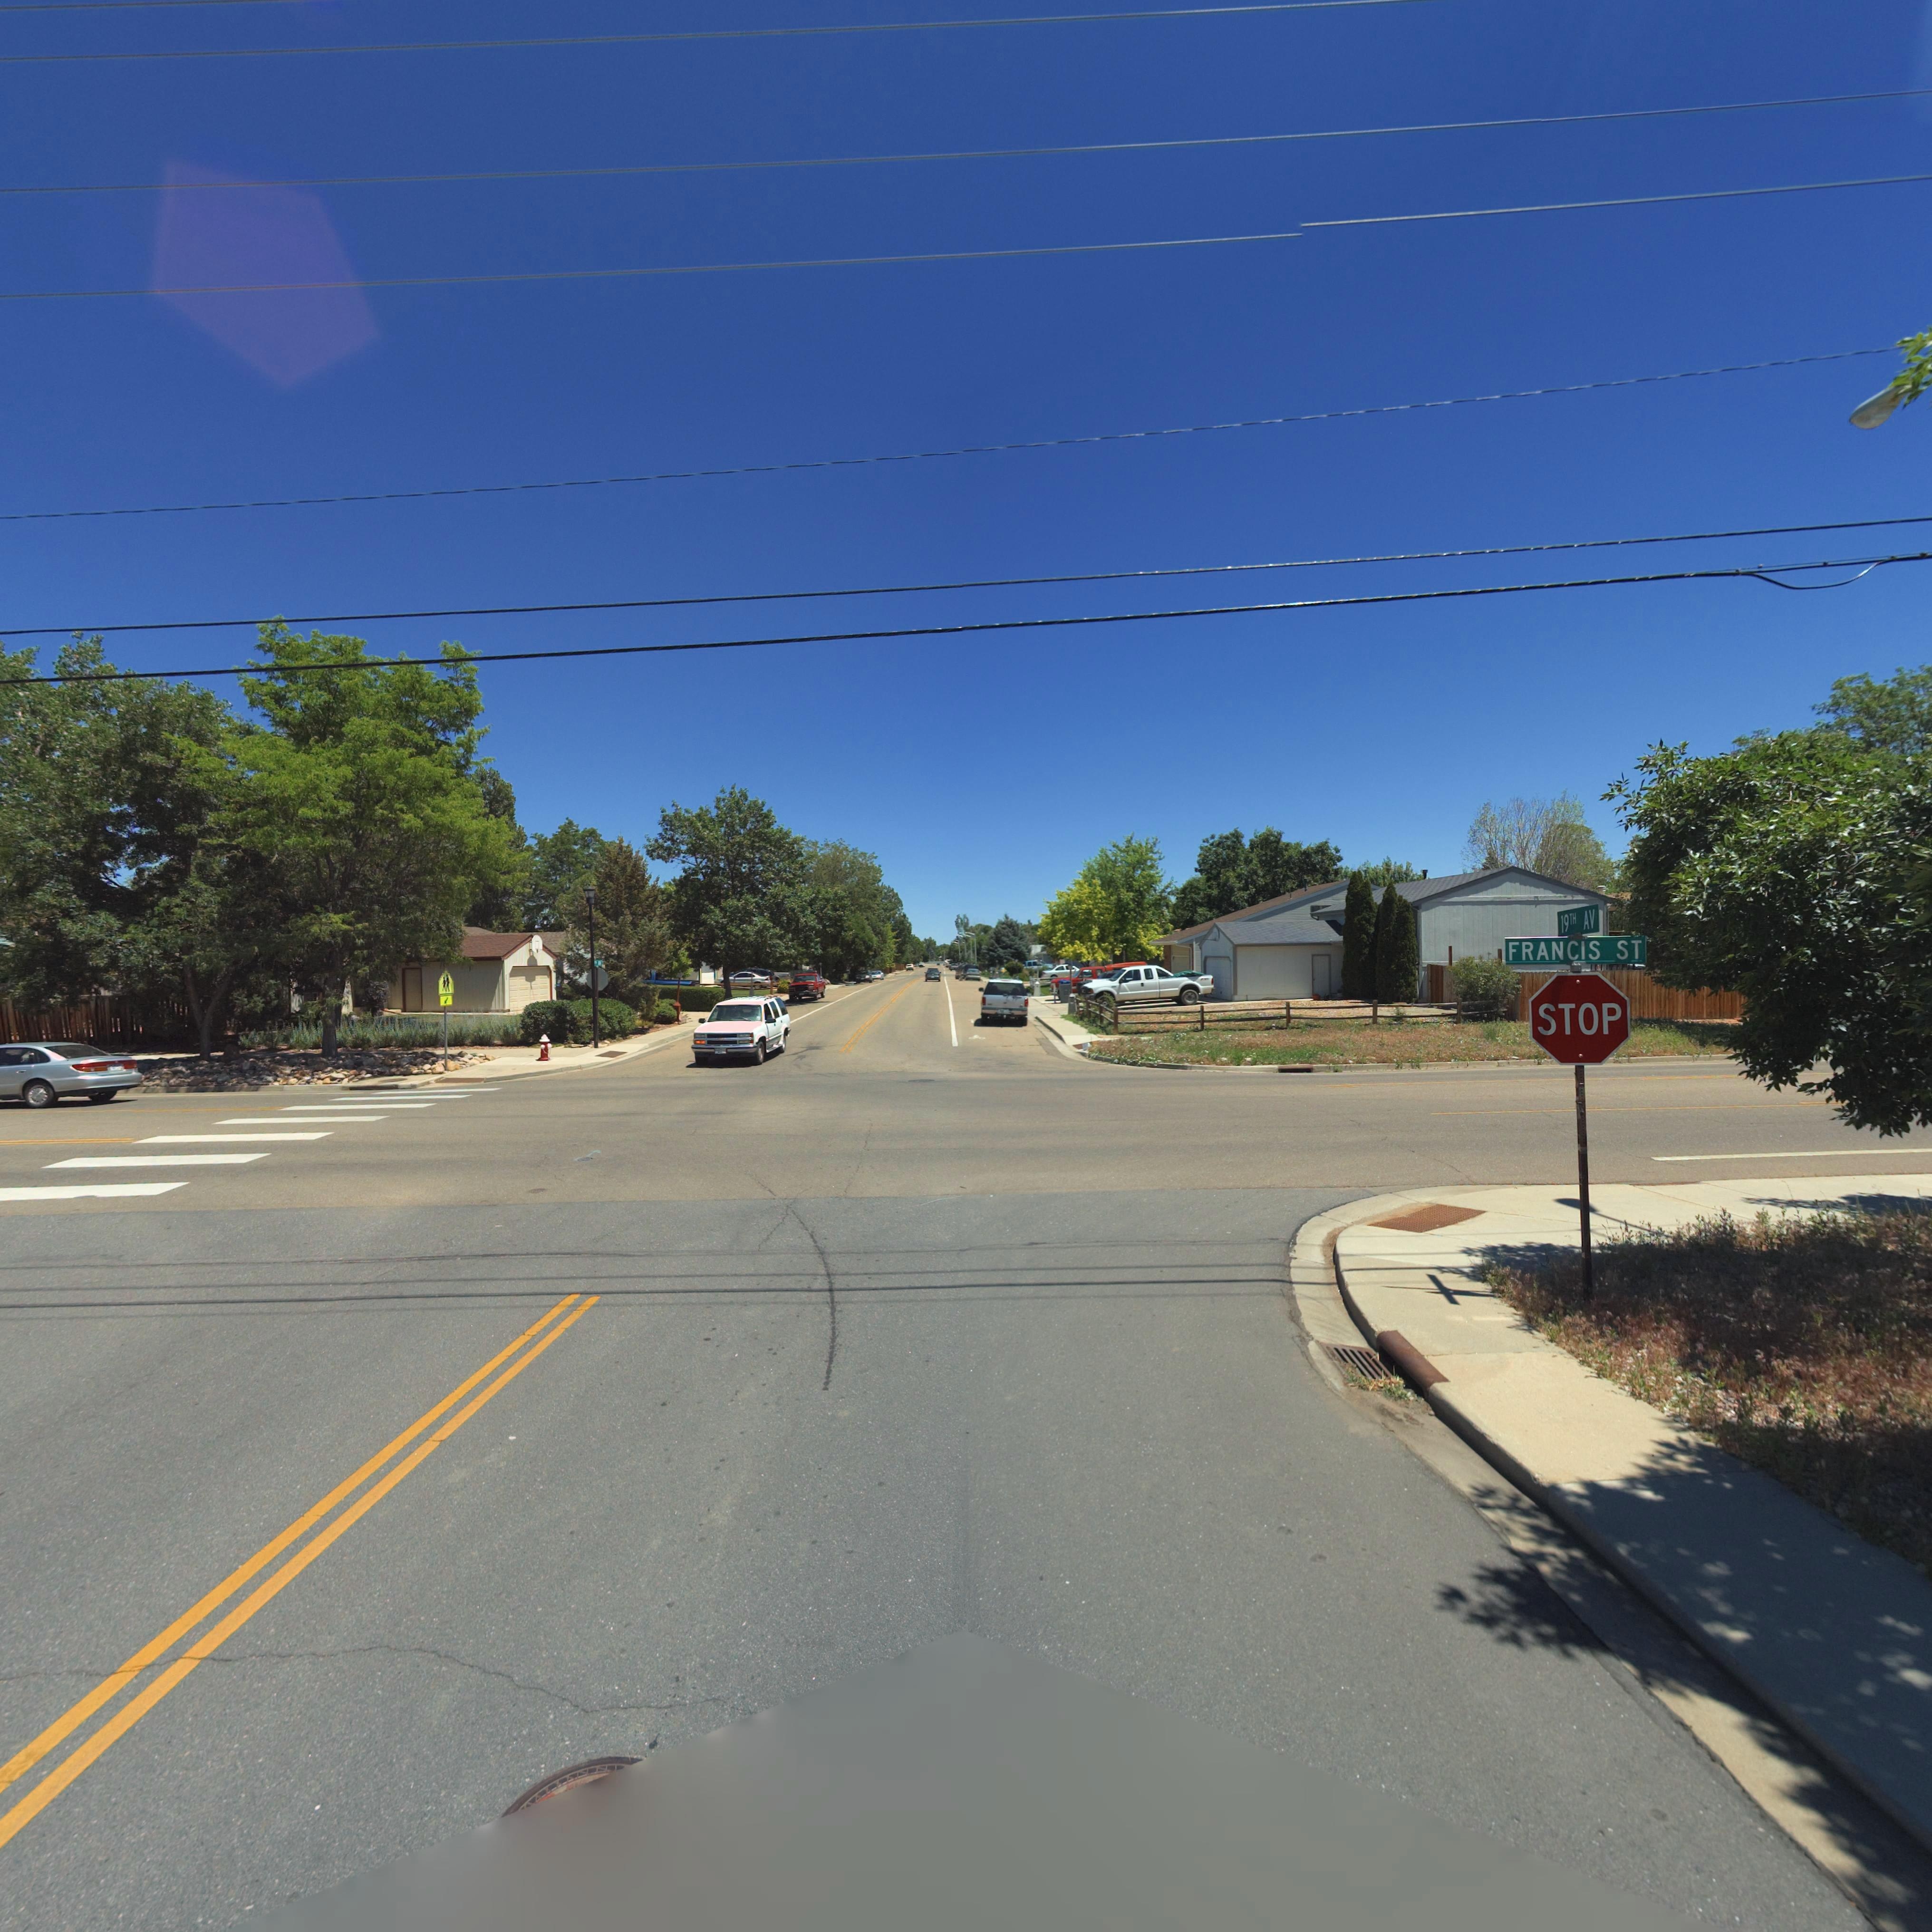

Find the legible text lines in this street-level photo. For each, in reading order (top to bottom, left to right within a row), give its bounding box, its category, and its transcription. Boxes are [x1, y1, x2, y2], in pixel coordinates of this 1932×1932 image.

[1560, 907, 1596, 934] StreetName: 19TH AV
[1507, 938, 1644, 961] StreetName: FRANCIS ST